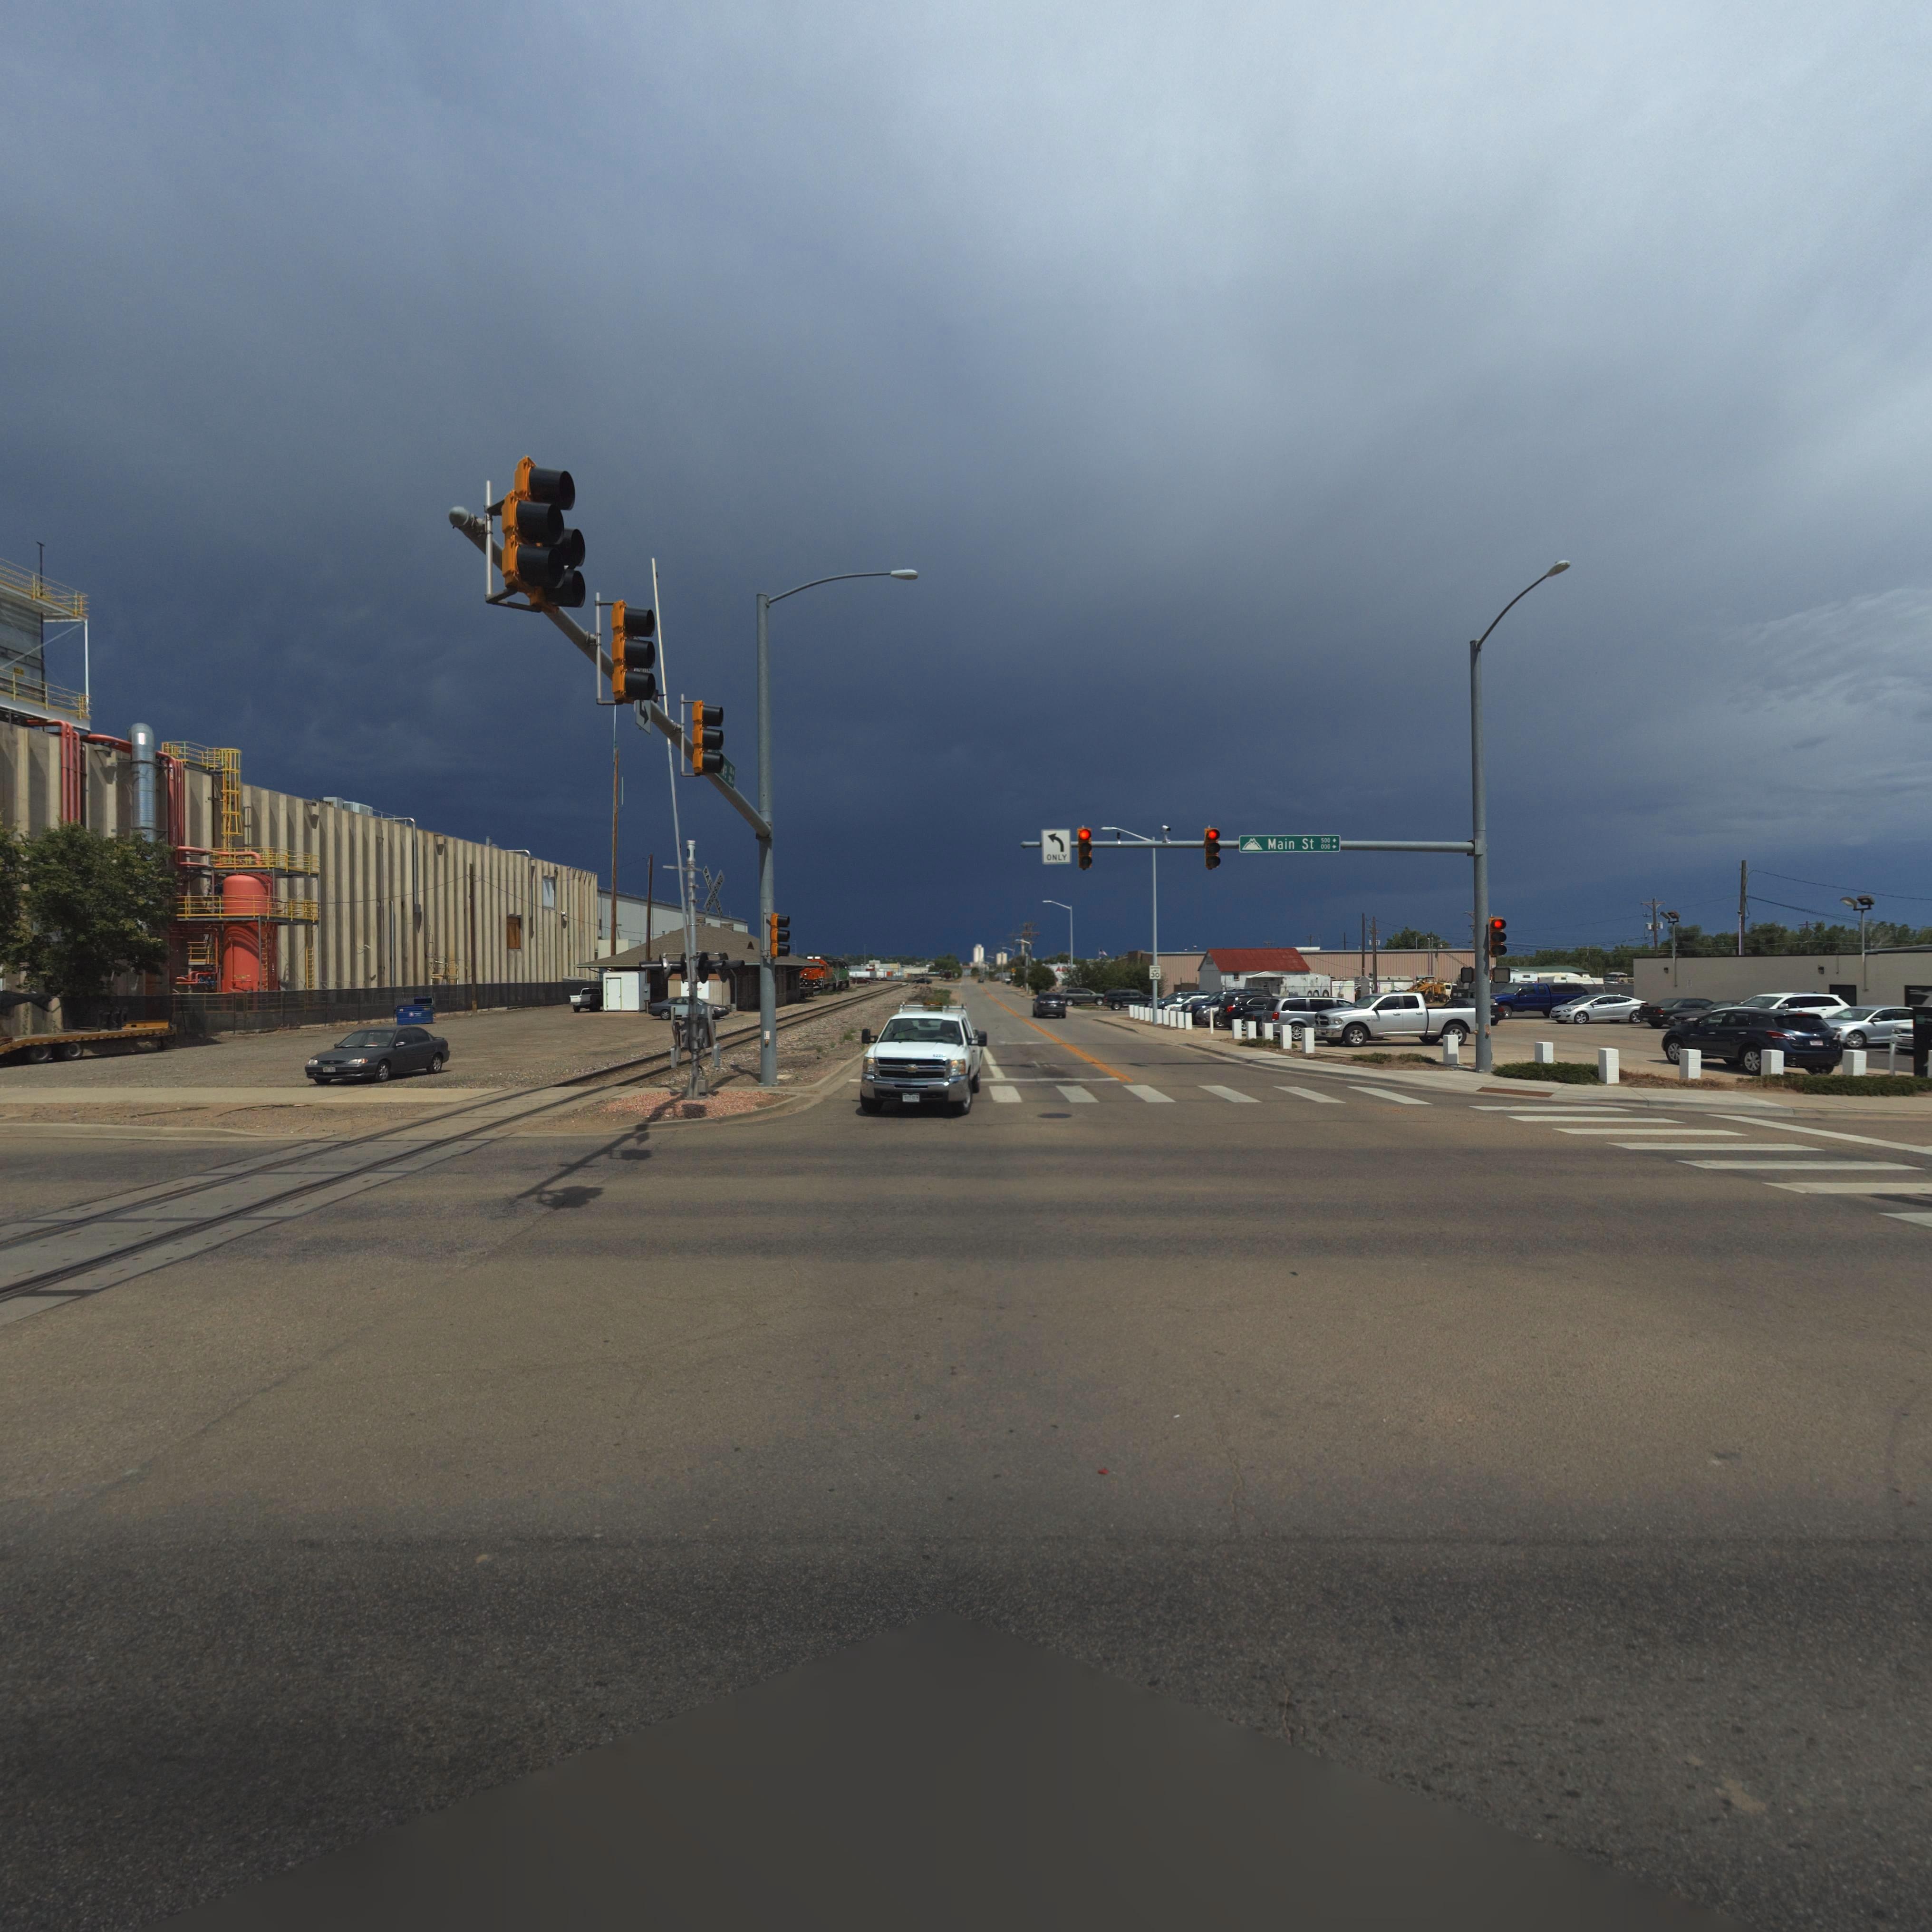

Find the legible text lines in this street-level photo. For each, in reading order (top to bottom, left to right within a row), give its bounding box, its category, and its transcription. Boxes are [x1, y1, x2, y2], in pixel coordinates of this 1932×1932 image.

[727, 774, 734, 784] StreetNumberRange: 5** **
[1267, 838, 1314, 850] StreetName: Main St
[1321, 837, 1331, 843] StreetNumberRange: 500
[1321, 843, 1336, 849] StreetNumberRange: 000 ->